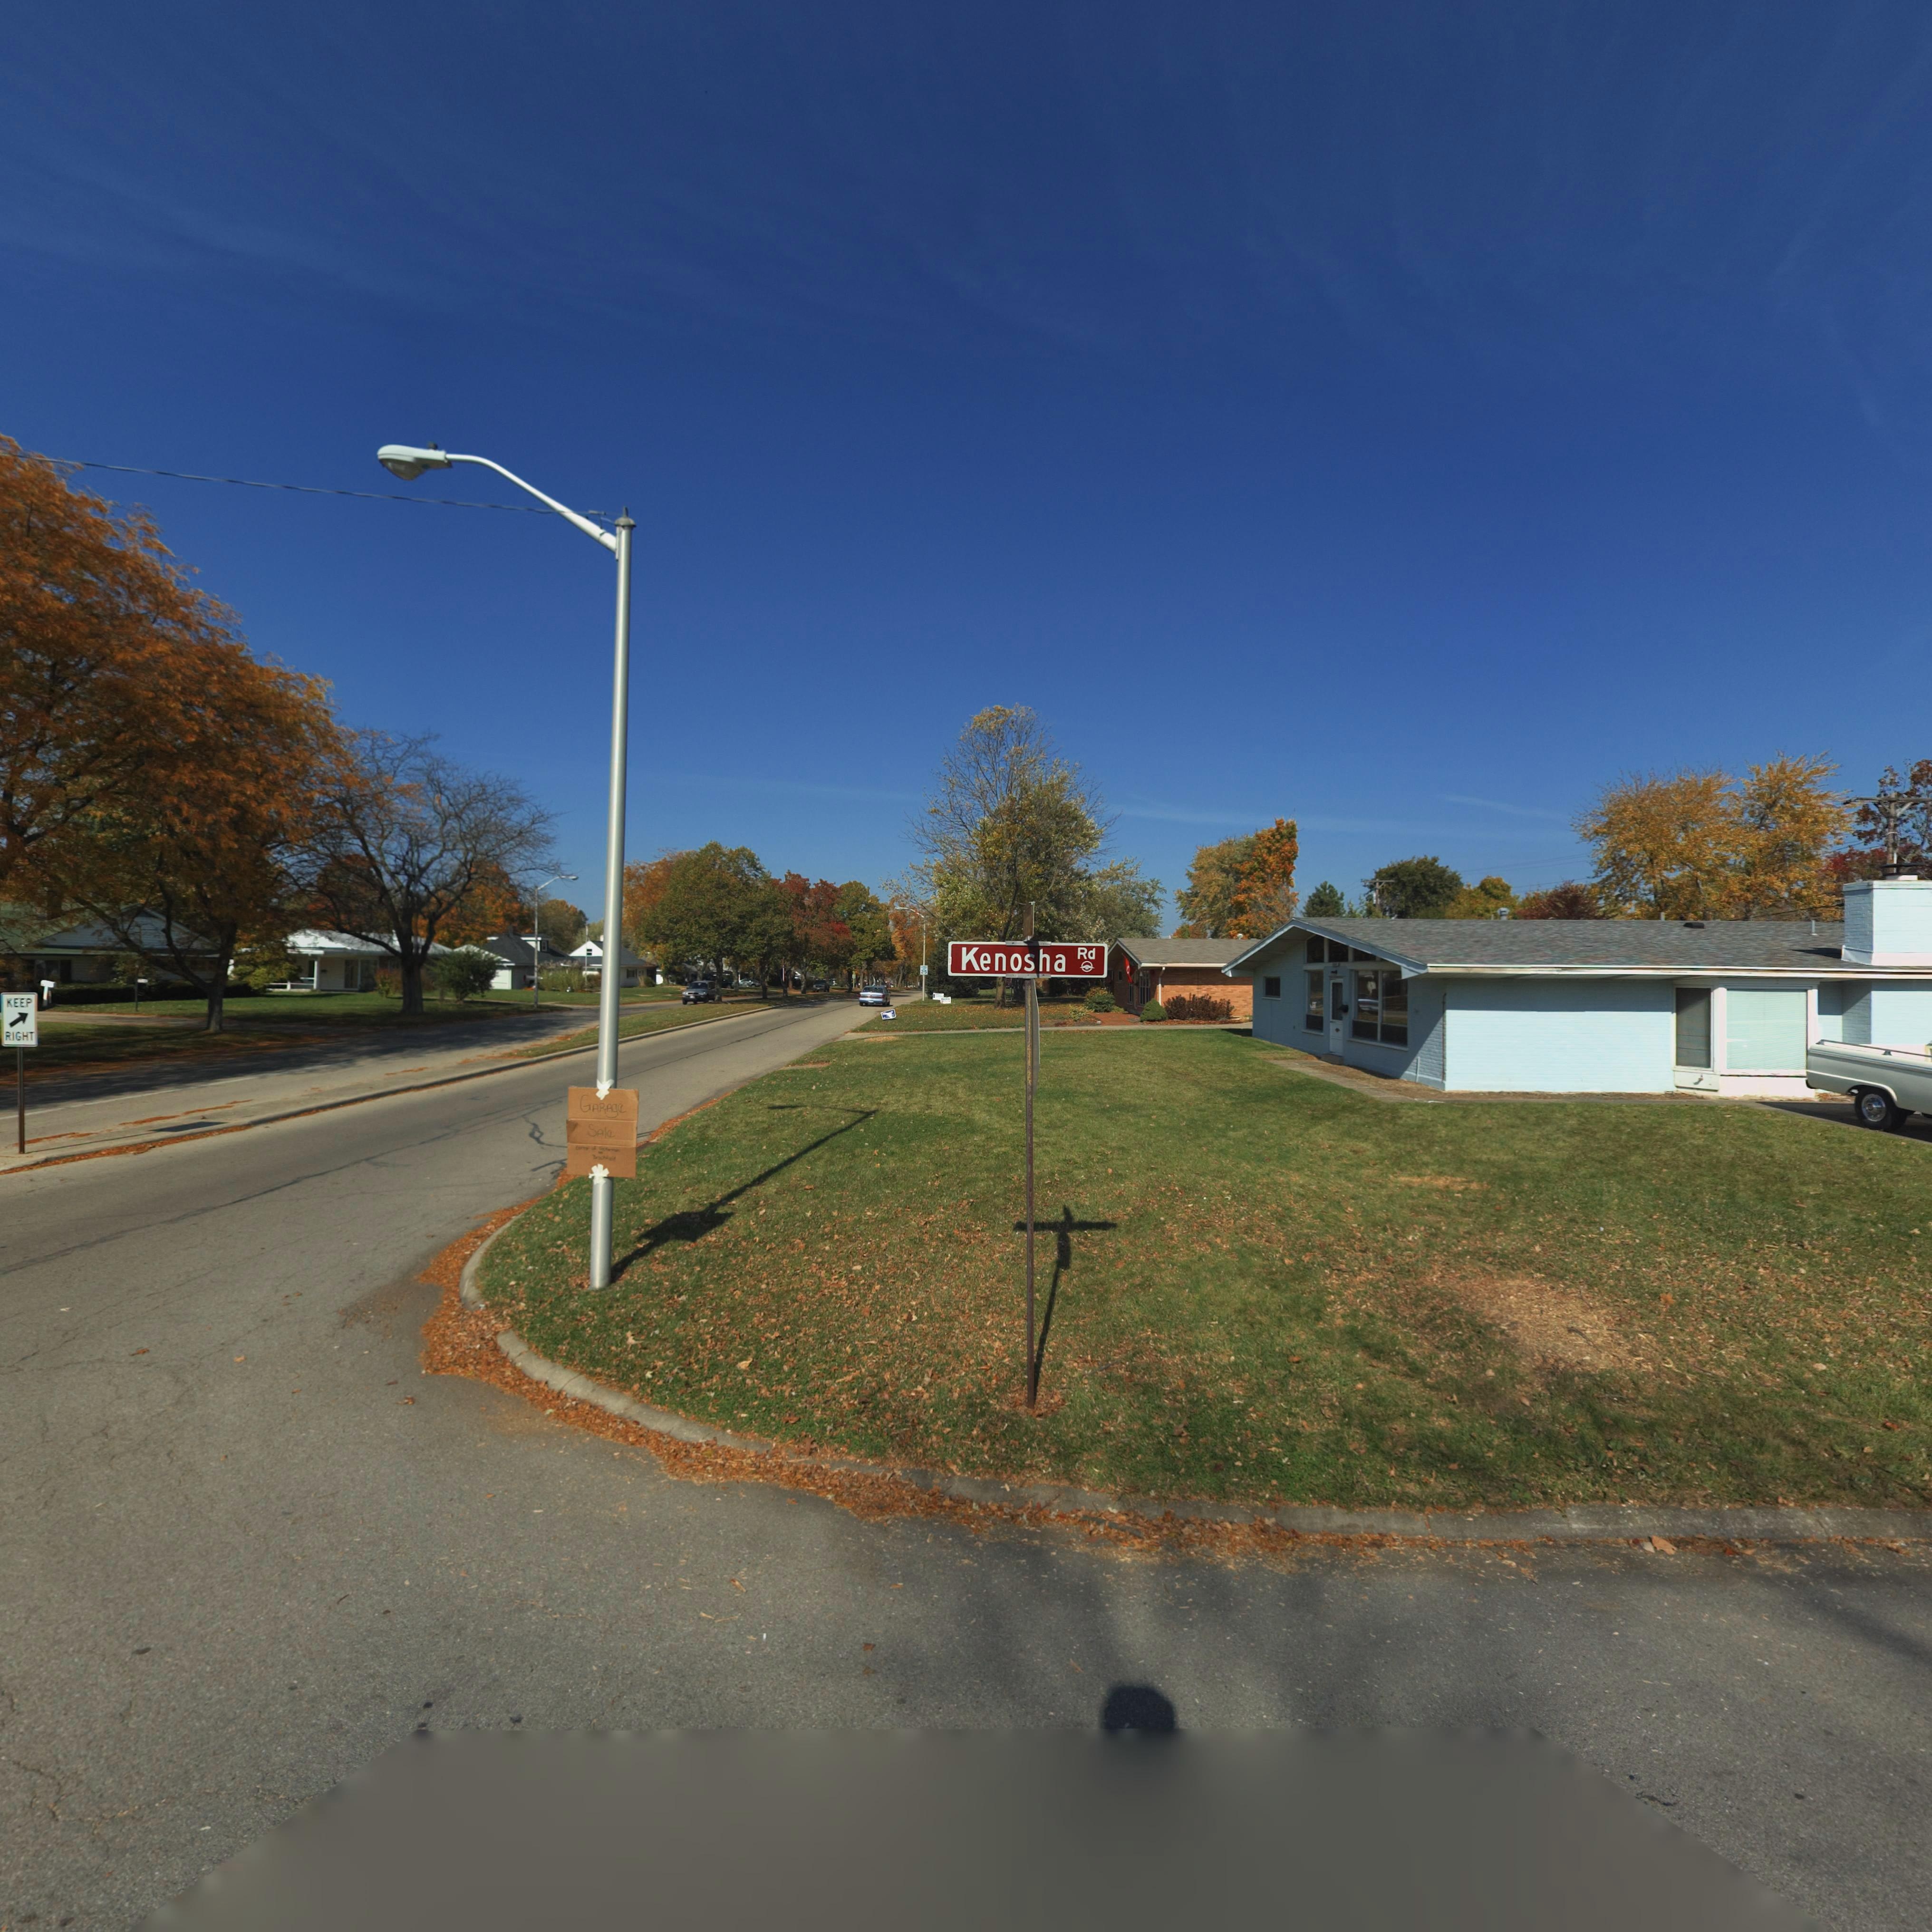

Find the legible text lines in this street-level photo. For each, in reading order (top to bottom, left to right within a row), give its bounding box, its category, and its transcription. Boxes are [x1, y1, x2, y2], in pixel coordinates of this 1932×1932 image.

[959, 945, 1097, 974] StreetName: Kenosha Rd
[920, 969, 928, 975] None: 25
[5, 996, 34, 1010] None: KEEP
[3, 1029, 37, 1043] None: RIGHT
[577, 1092, 630, 1121] None: GARAge
[585, 1122, 618, 1141] None: SAle